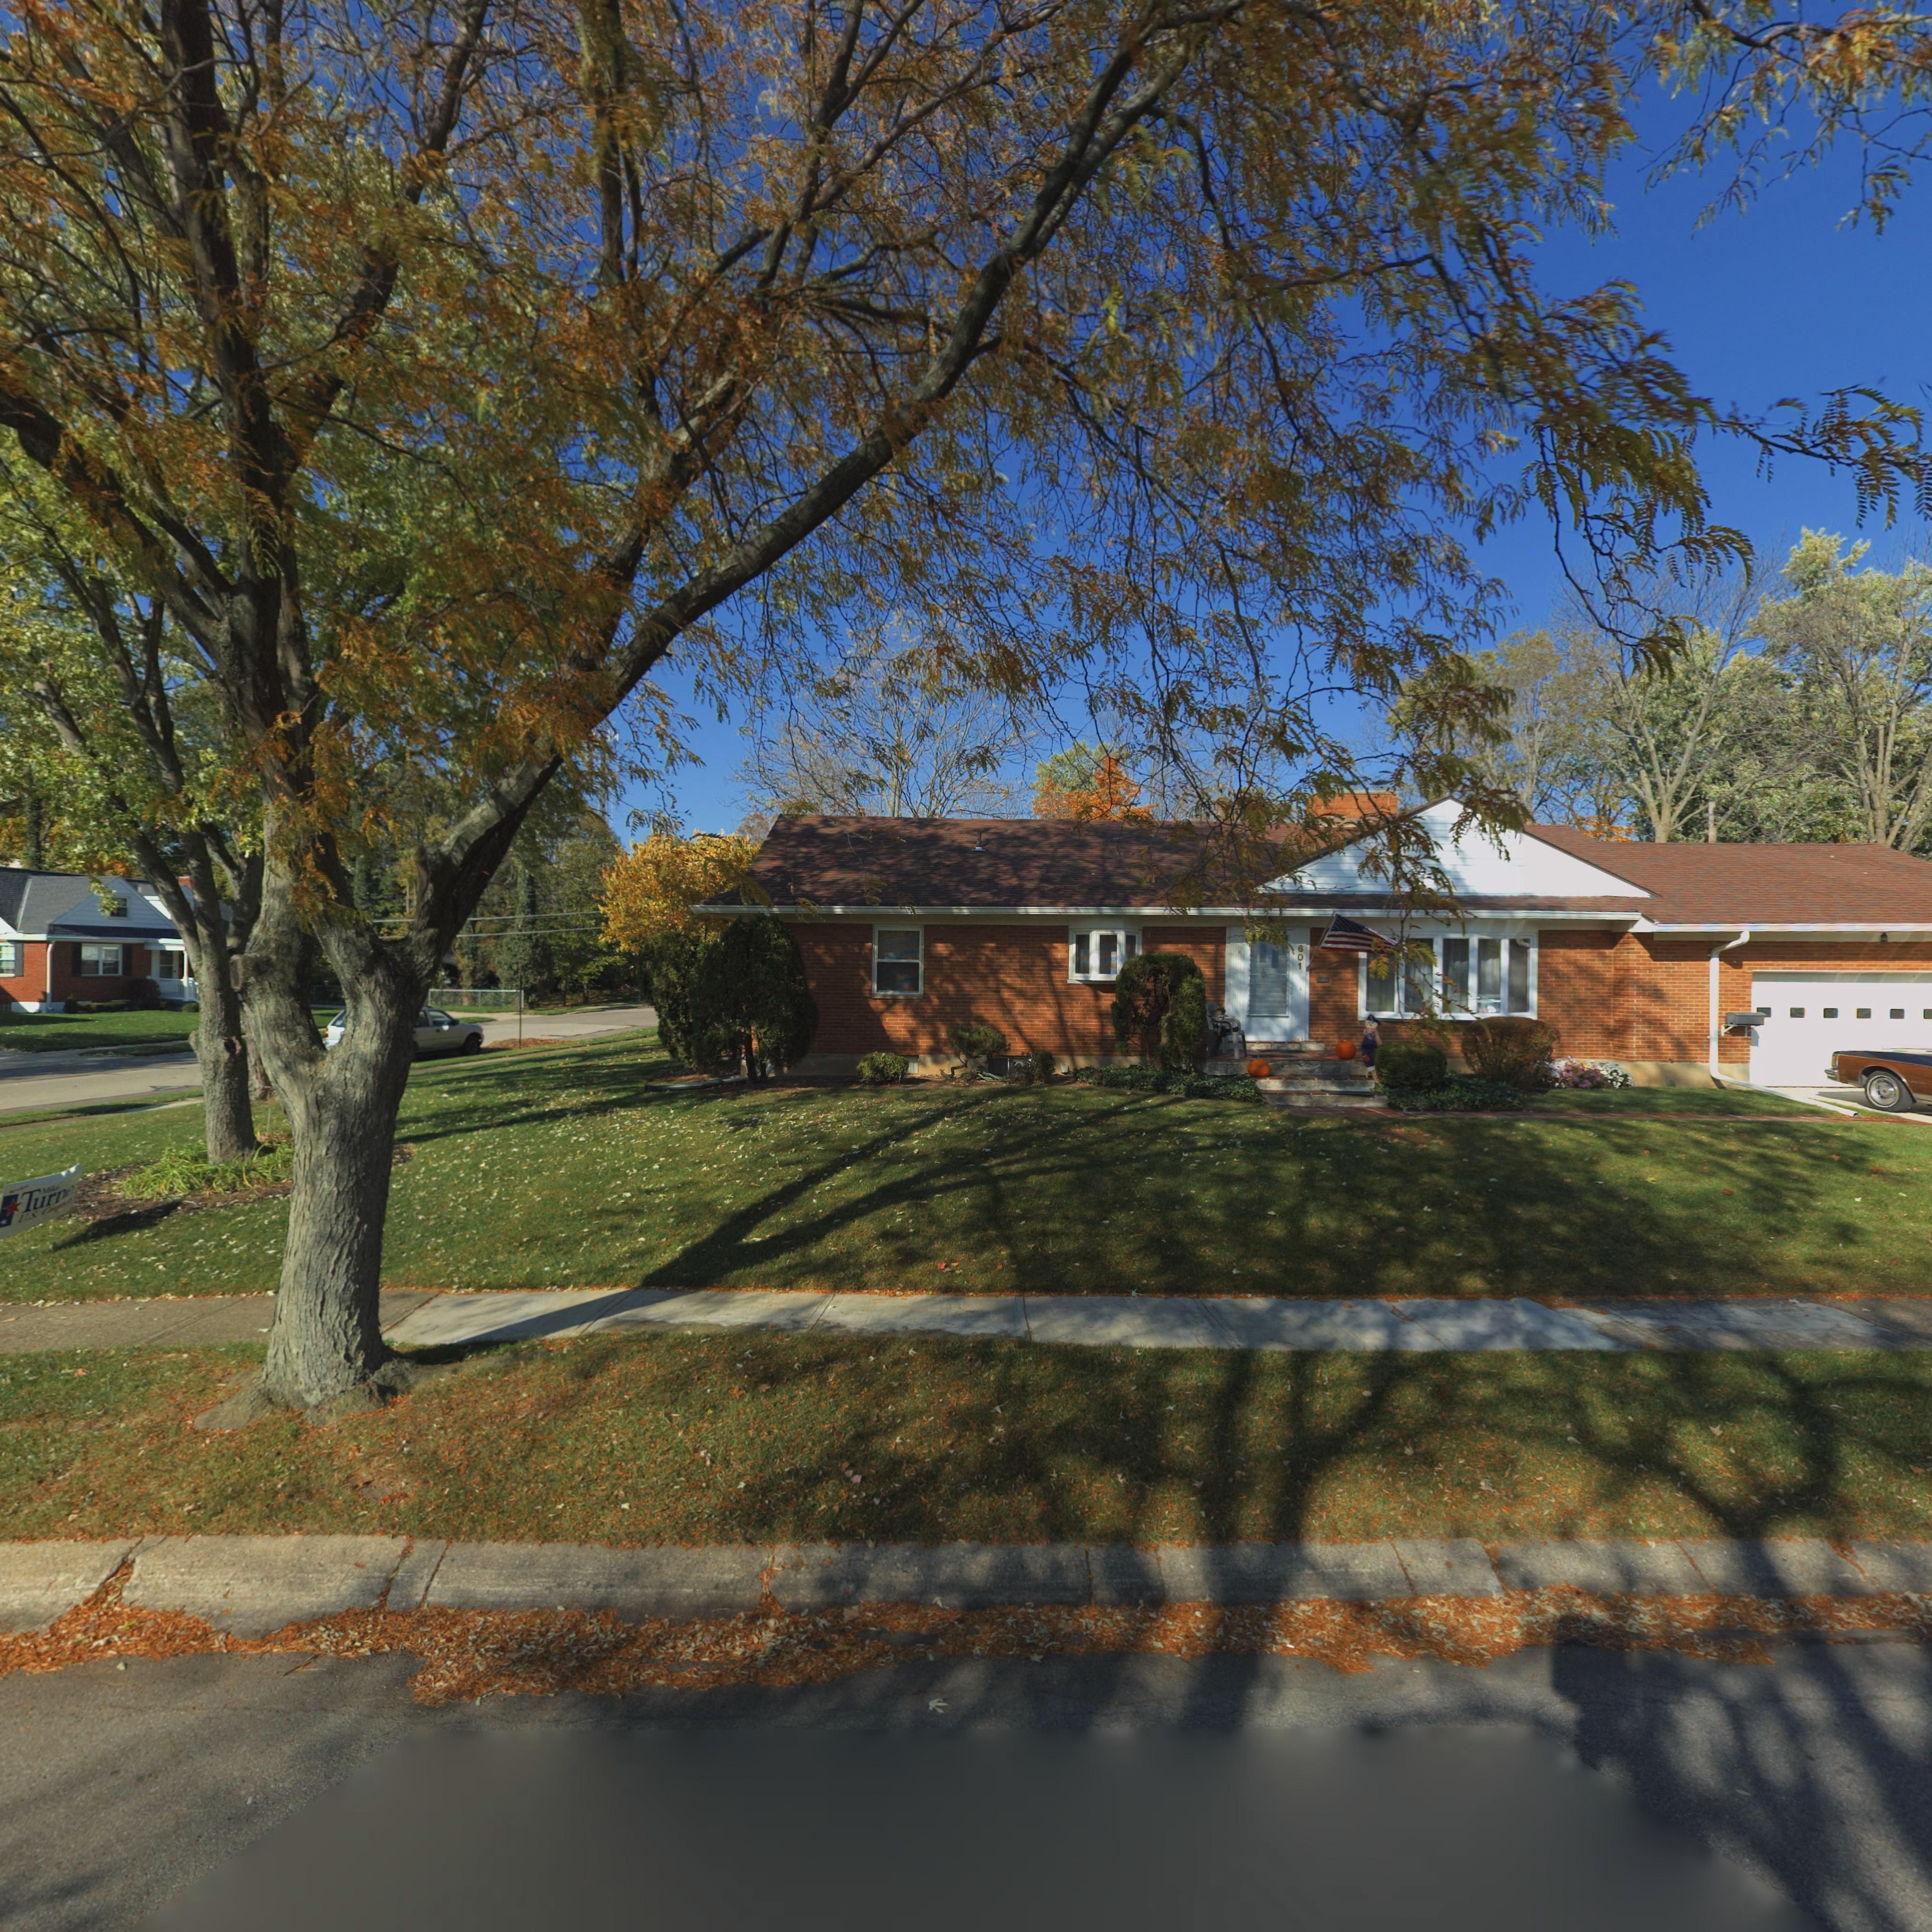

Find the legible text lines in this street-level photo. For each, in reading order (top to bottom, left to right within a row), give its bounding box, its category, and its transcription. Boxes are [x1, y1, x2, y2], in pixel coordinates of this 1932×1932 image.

[1297, 944, 1304, 970] StreetNumber: 601
[21, 1188, 67, 1214] None: Turn
[42, 1185, 60, 1195] None: Mike
[18, 1206, 51, 1224] None: U.S. C